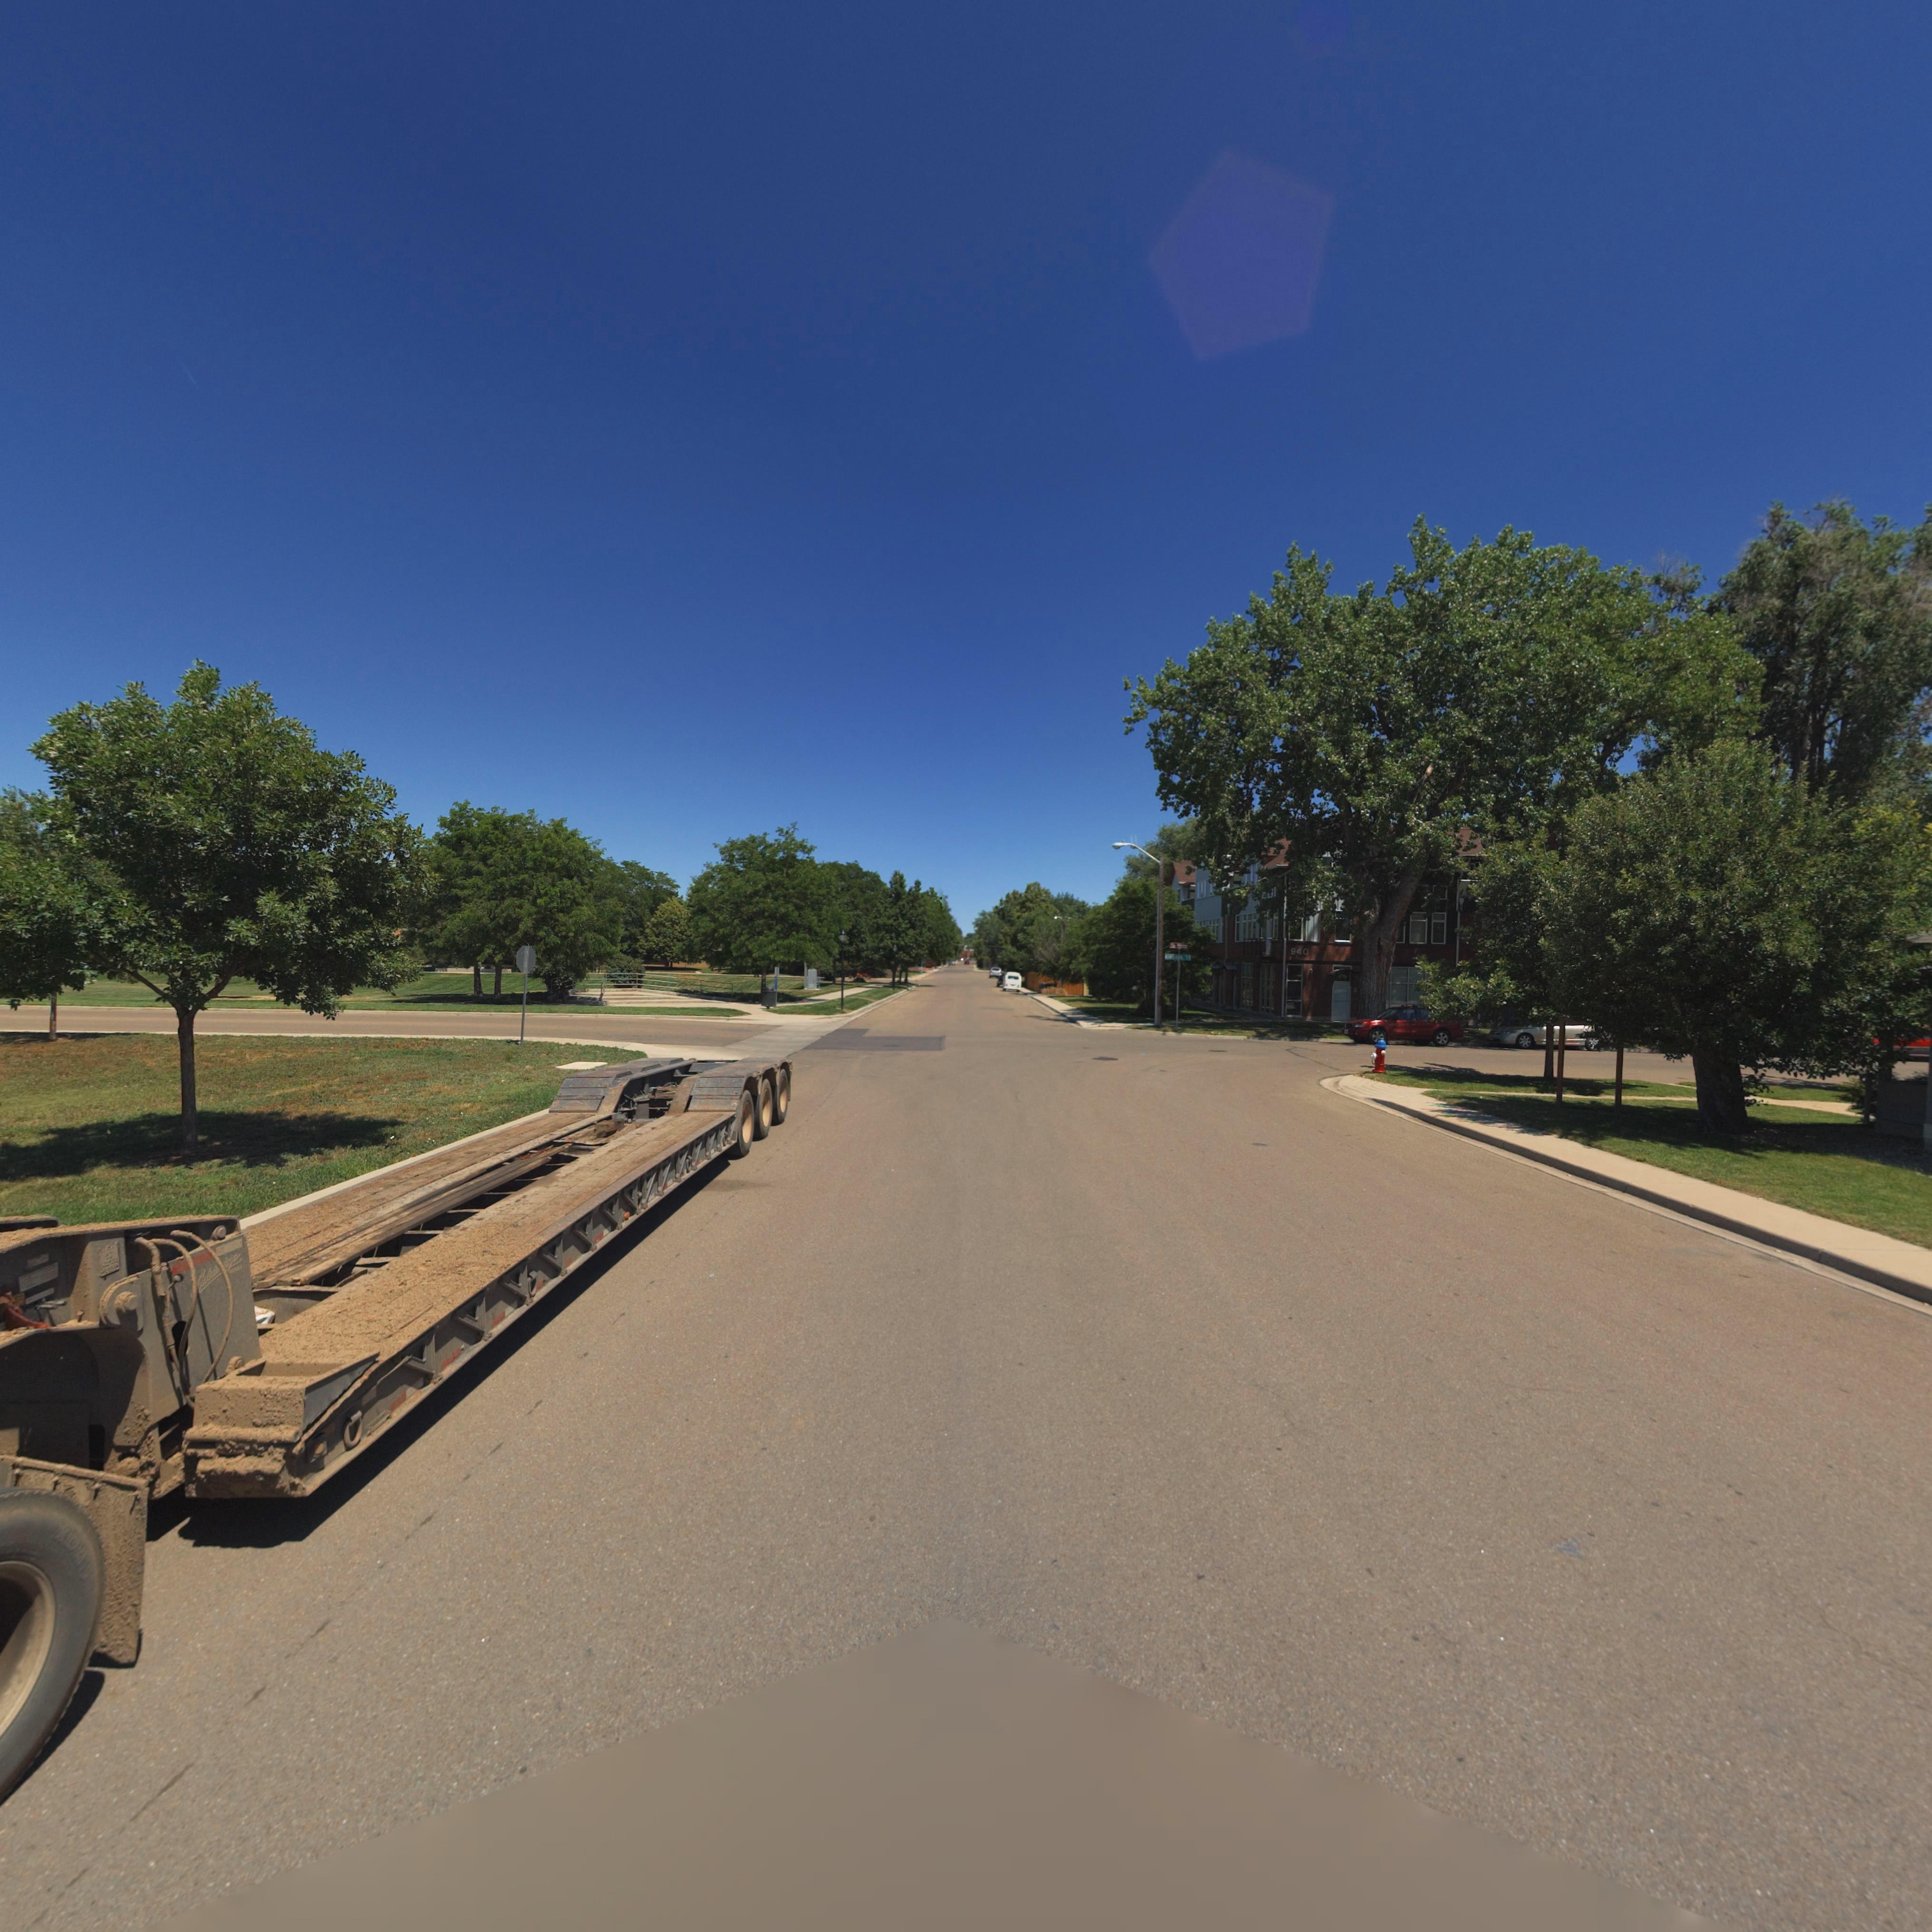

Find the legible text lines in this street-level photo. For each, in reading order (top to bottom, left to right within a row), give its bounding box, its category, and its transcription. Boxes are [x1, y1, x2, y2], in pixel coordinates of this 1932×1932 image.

[1290, 947, 1309, 956] StreetNumber: 940
[1353, 987, 1357, 992] StreetNumber: 3